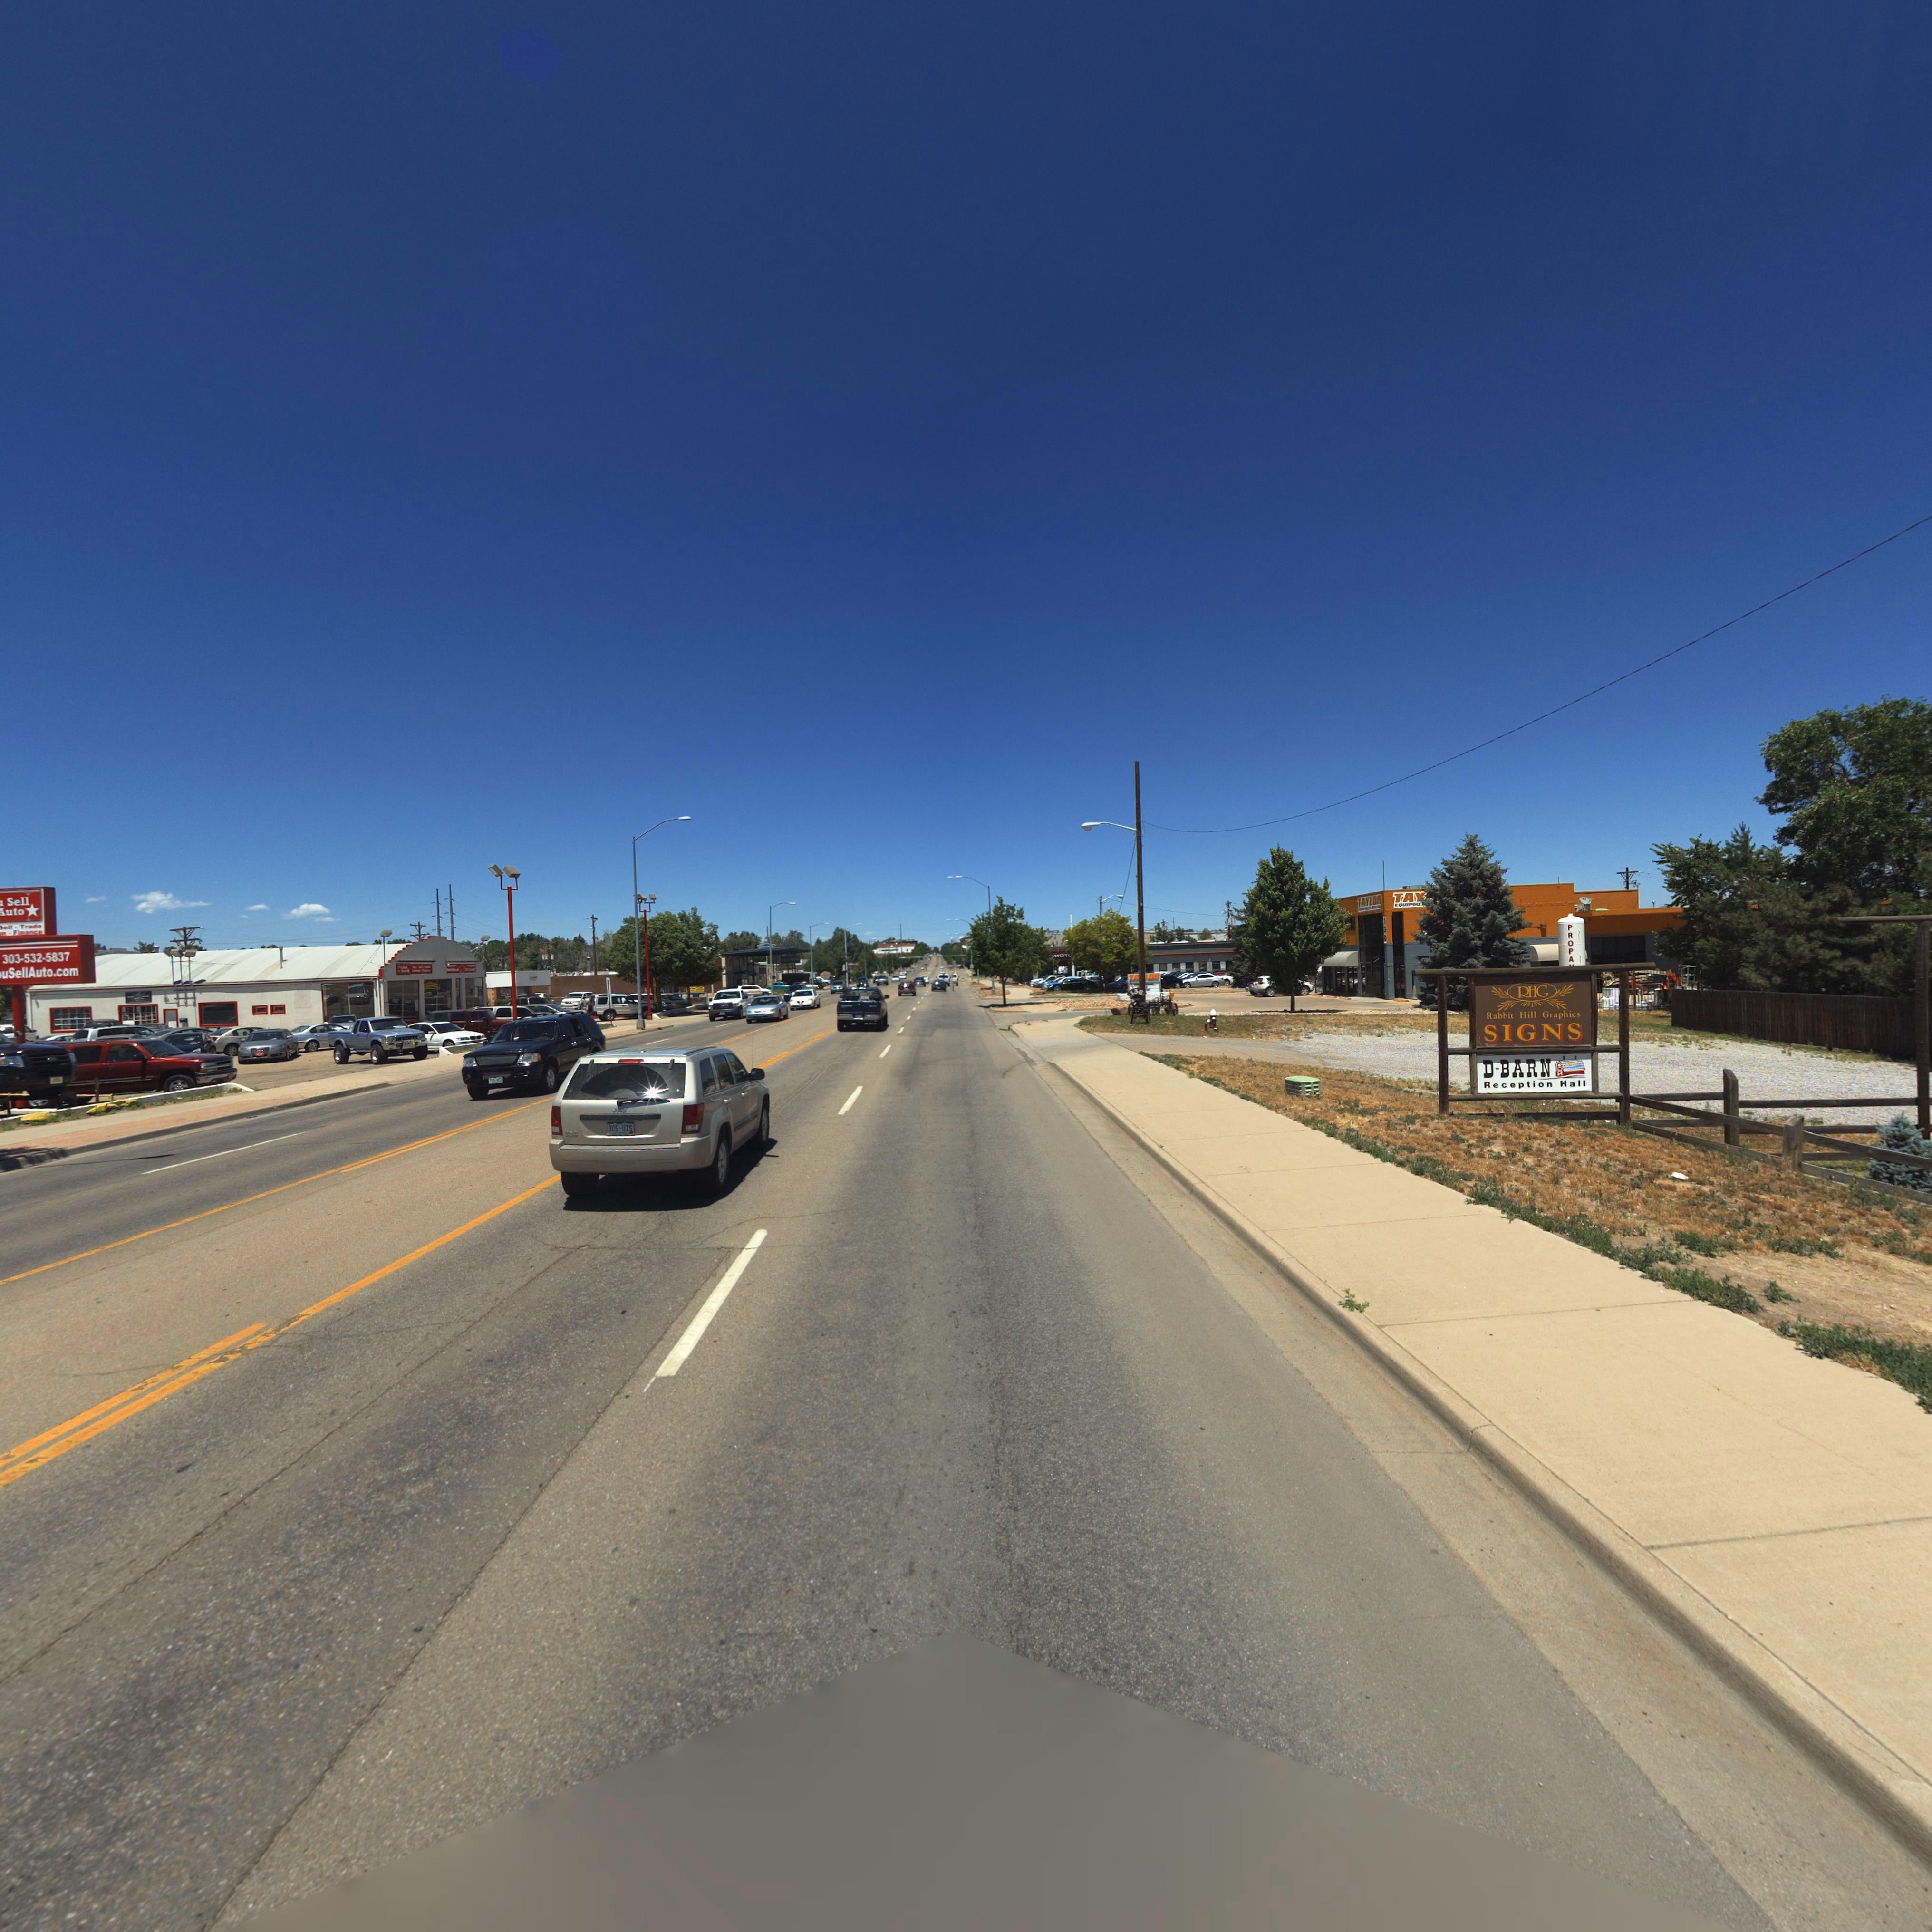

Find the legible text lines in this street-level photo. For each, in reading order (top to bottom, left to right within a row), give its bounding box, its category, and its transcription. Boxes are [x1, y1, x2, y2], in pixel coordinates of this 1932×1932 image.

[7, 896, 29, 906] BusinessName: Sell
[1357, 894, 1381, 907] BusinessName: TAYLOR
[4, 908, 24, 915] BusinessName: uto
[1383, 917, 1386, 941] StreetNumber: 130
[1049, 948, 1067, 954] BusinessName: OO
[1053, 954, 1072, 958] BusinessName: MOT*
[1129, 974, 1159, 980] BusinessName: TA*LOR
[1130, 989, 1144, 995] StreetNumber: 136
[1517, 985, 1549, 998] BusinessName: RHG
[1486, 1009, 1581, 1020] BusinessName: Rabbit Hill Graphics
[1482, 1058, 1551, 1078] BusinessName: D-BARN